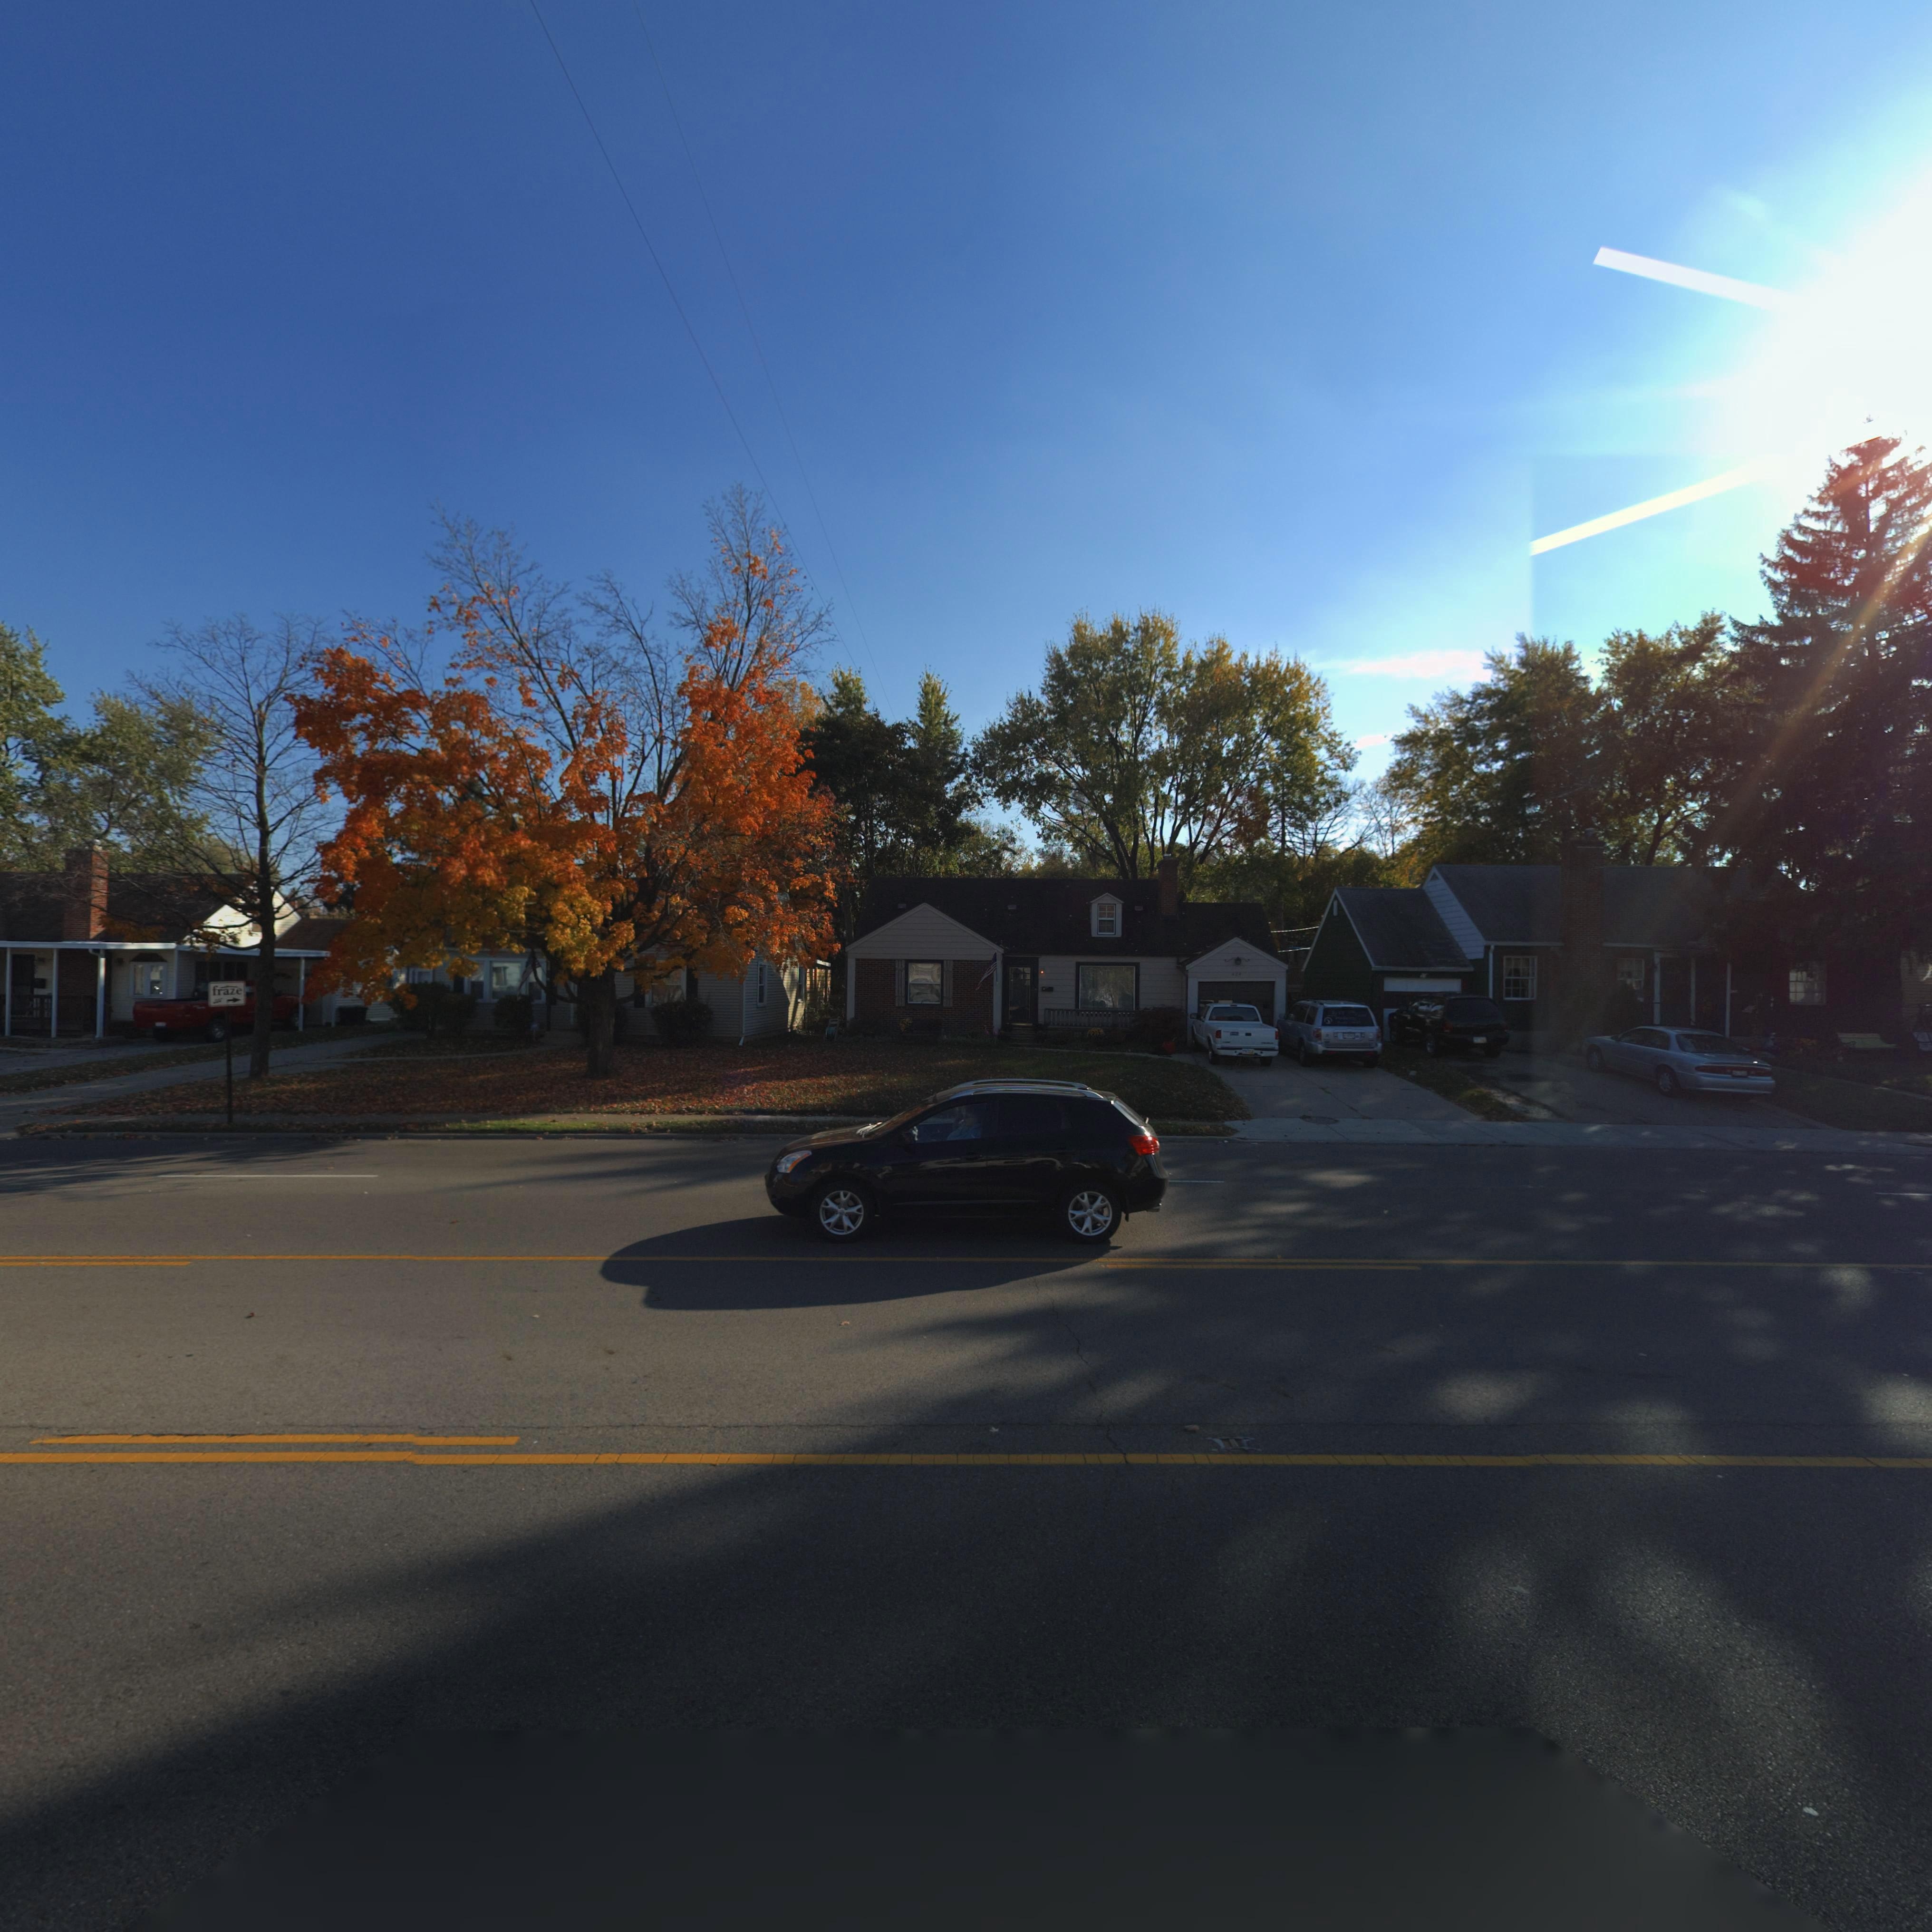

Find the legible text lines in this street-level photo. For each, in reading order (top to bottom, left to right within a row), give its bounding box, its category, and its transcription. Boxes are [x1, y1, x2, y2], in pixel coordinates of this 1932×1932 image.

[1231, 972, 1242, 976] StreetNumber: 424